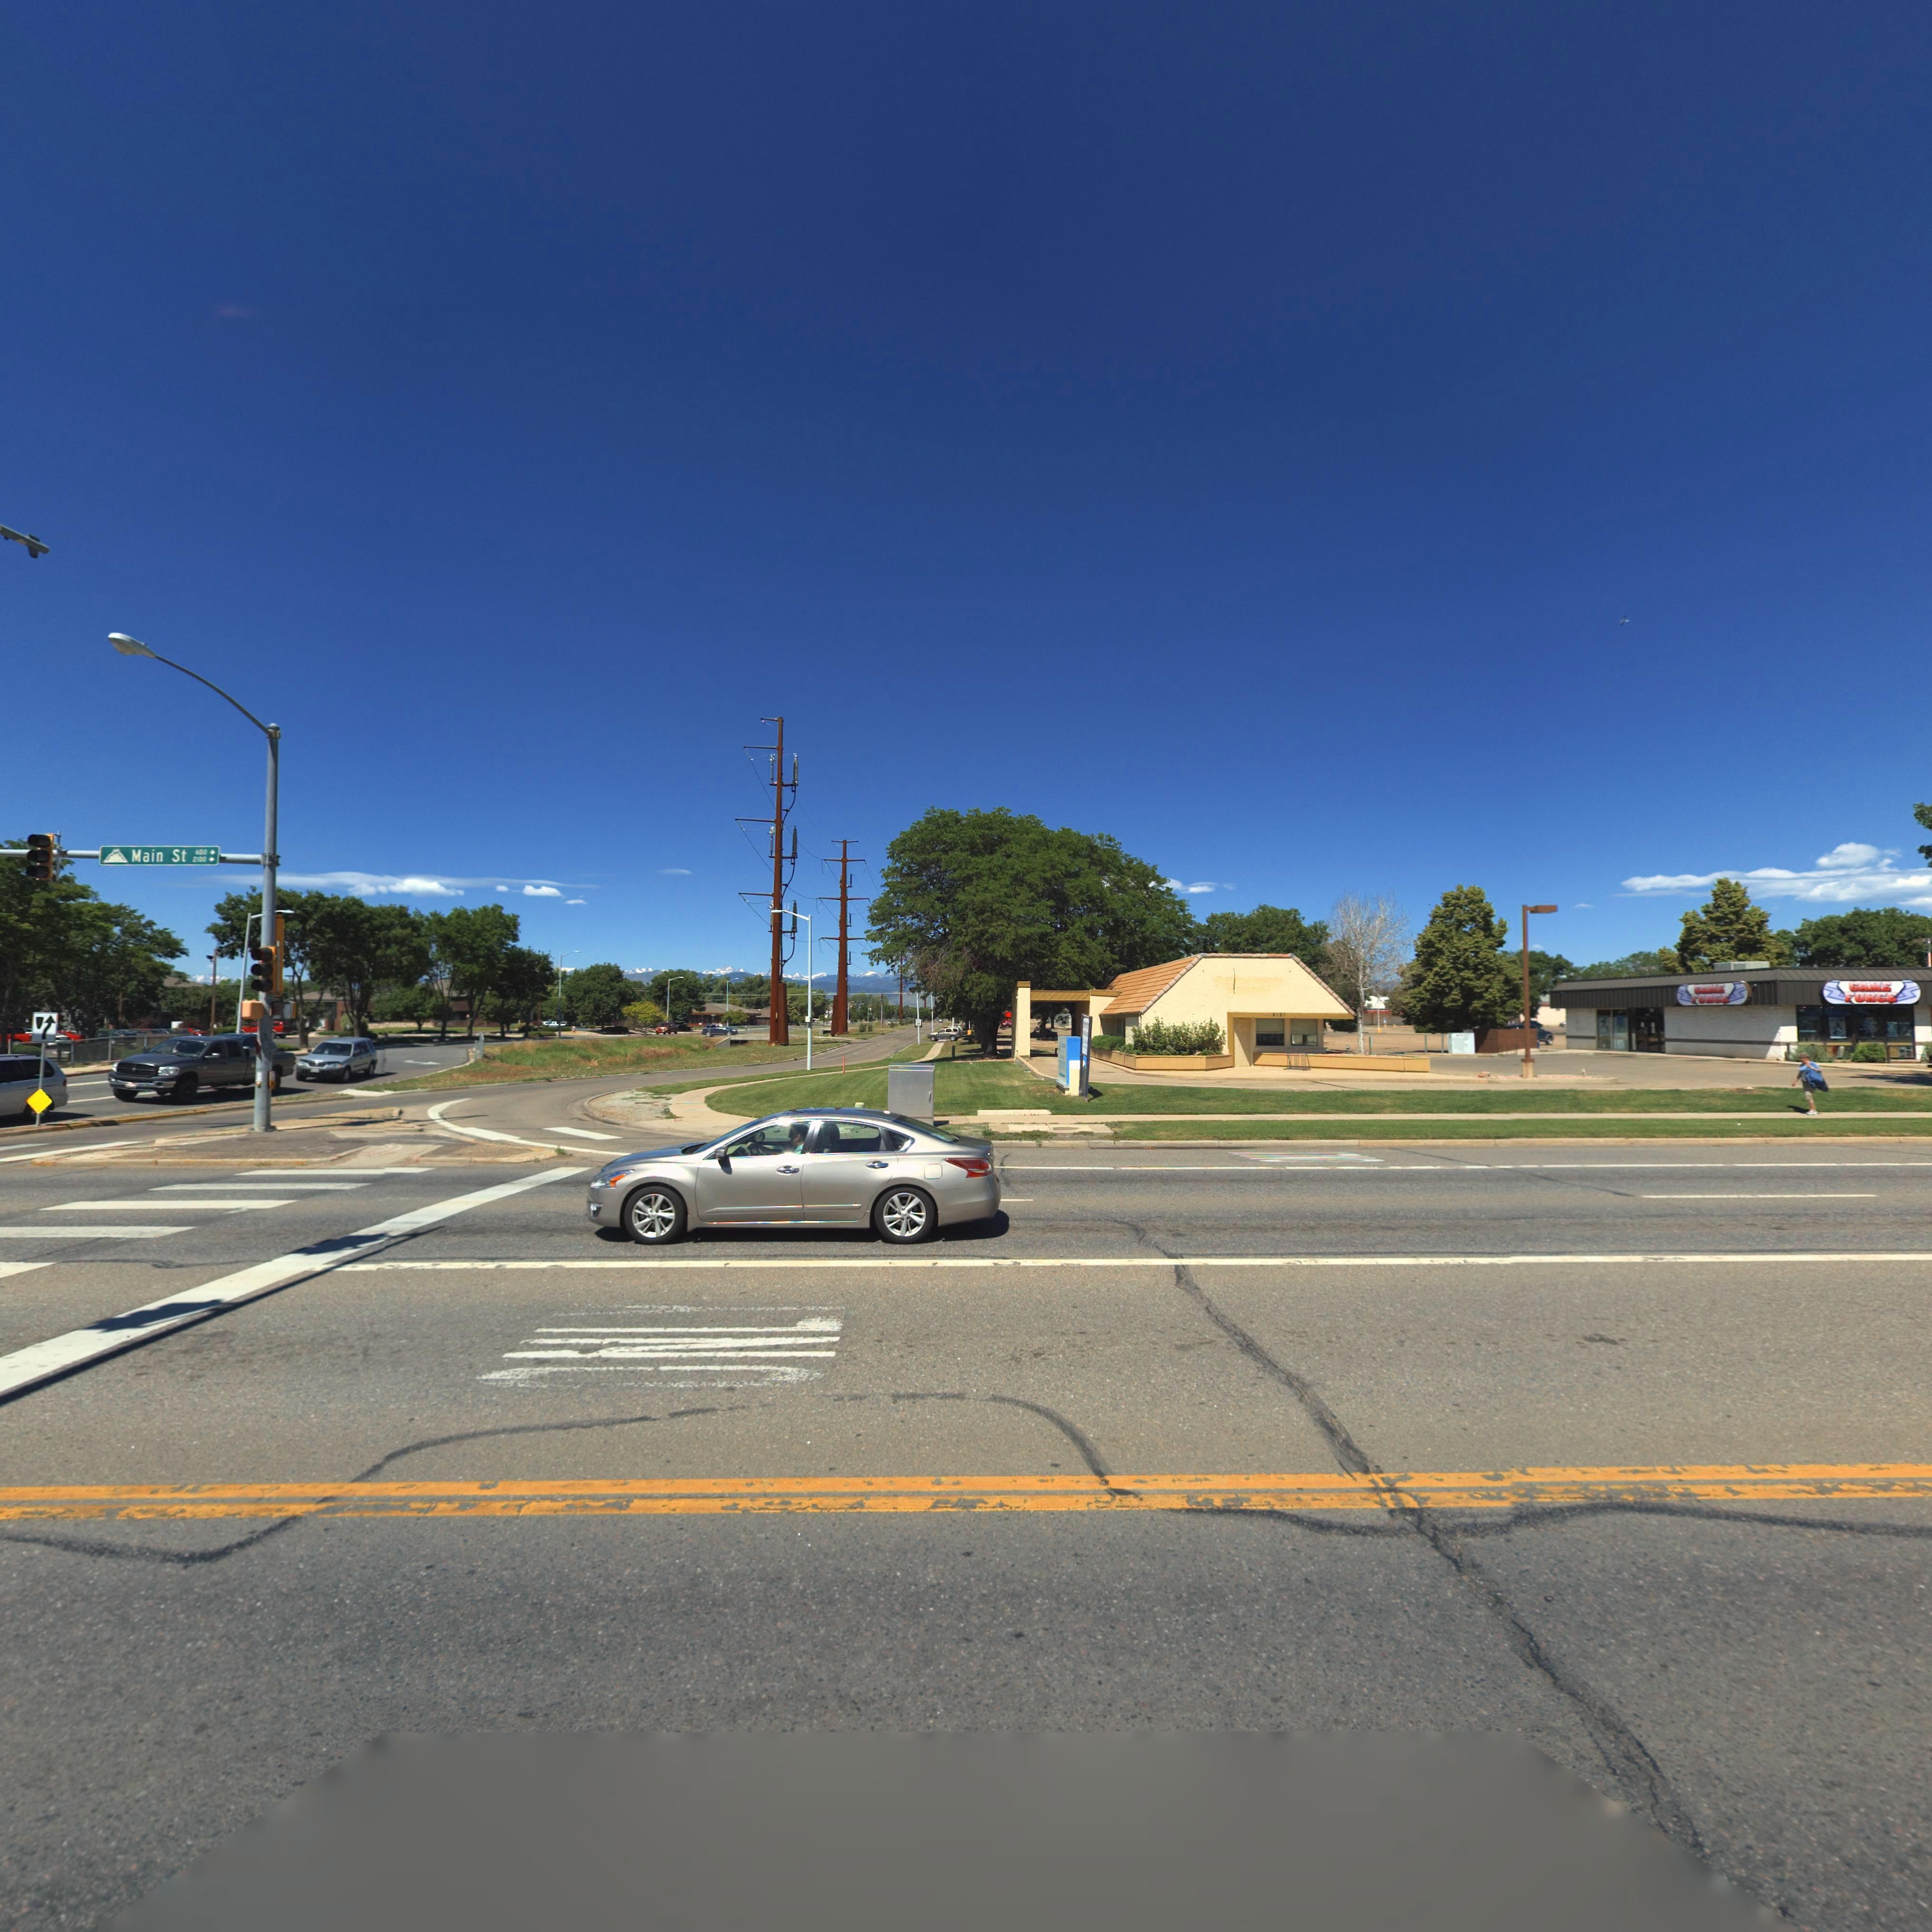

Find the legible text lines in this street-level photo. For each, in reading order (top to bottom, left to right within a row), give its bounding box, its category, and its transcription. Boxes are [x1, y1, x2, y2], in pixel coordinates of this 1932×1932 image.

[131, 849, 187, 862] StreetName: Main St
[195, 849, 208, 855] StreetNumberRange: 600
[192, 856, 215, 862] StreetNumberRange: 2100->
[1693, 983, 1725, 994] BusinessName: GAME
[1848, 981, 1892, 992] BusinessName: GAME
[1691, 993, 1729, 1003] BusinessName: FORCE
[1844, 991, 1897, 1002] BusinessName: FORCE
[1271, 1012, 1286, 1017] StreetNumber: 2103